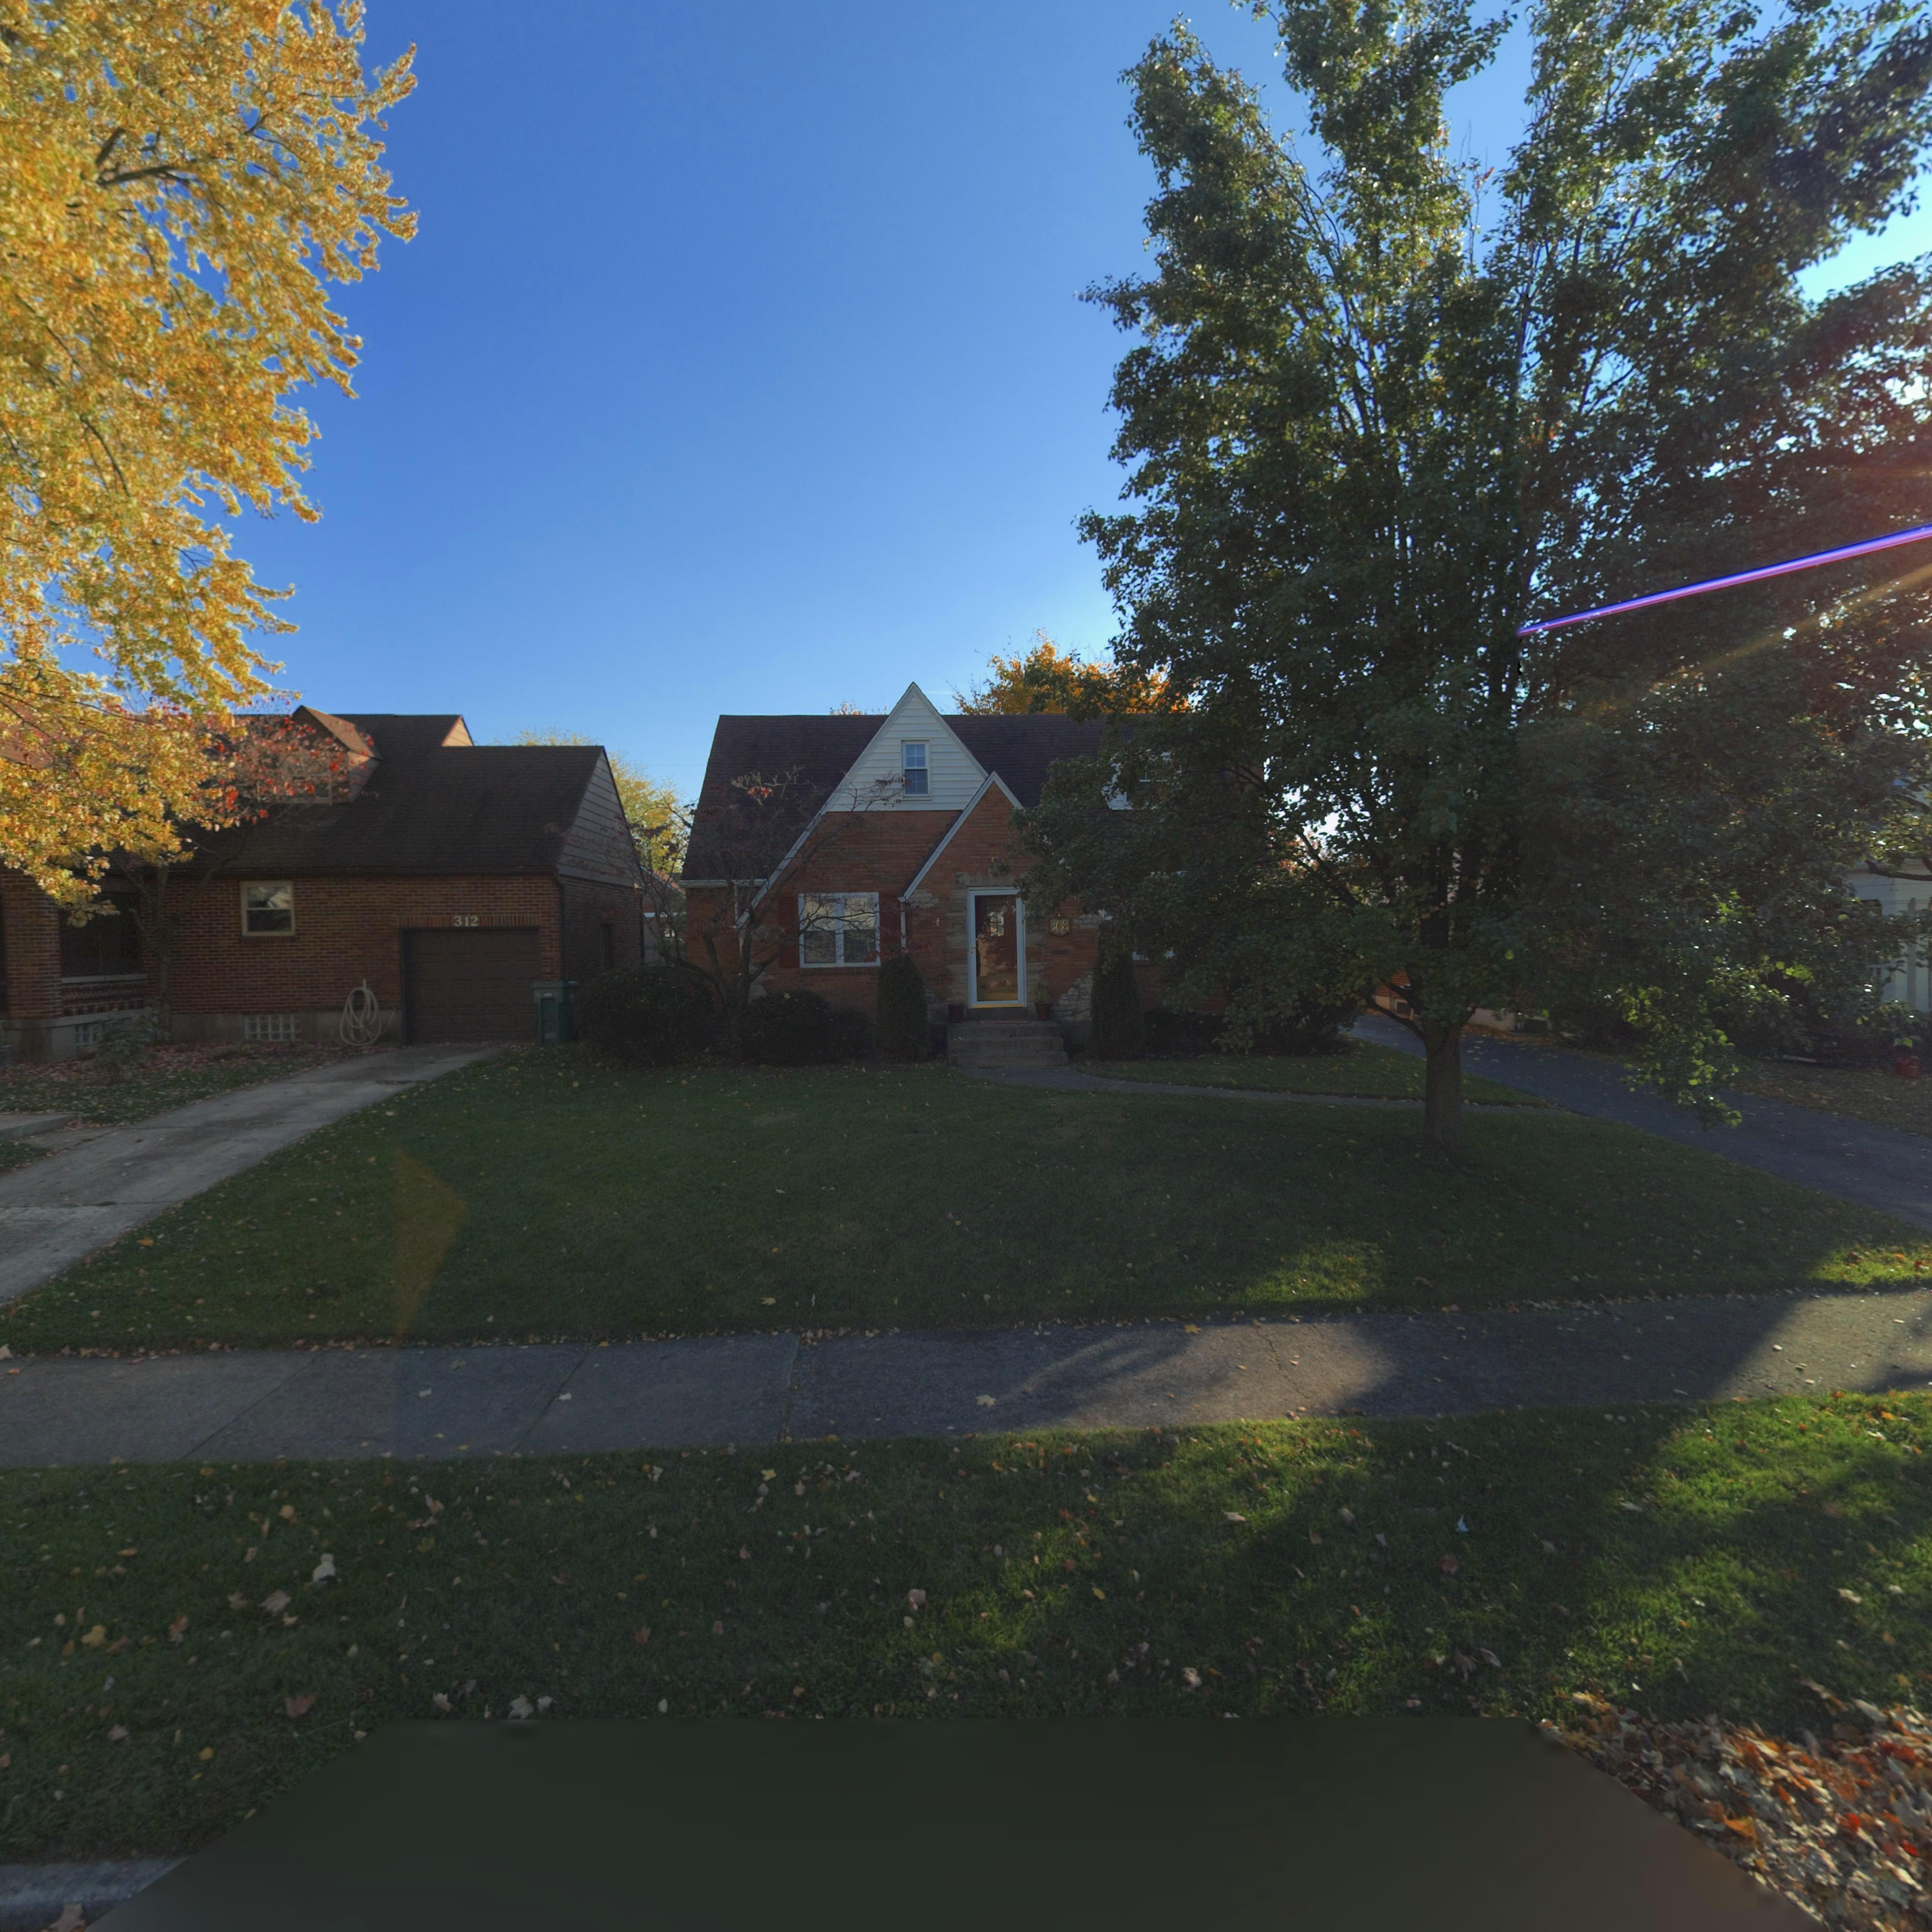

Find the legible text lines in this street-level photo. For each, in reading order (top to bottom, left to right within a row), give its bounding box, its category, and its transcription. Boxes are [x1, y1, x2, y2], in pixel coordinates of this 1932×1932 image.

[452, 914, 480, 927] StreetNumber: 312
[1050, 919, 1070, 935] StreetNumber: 308